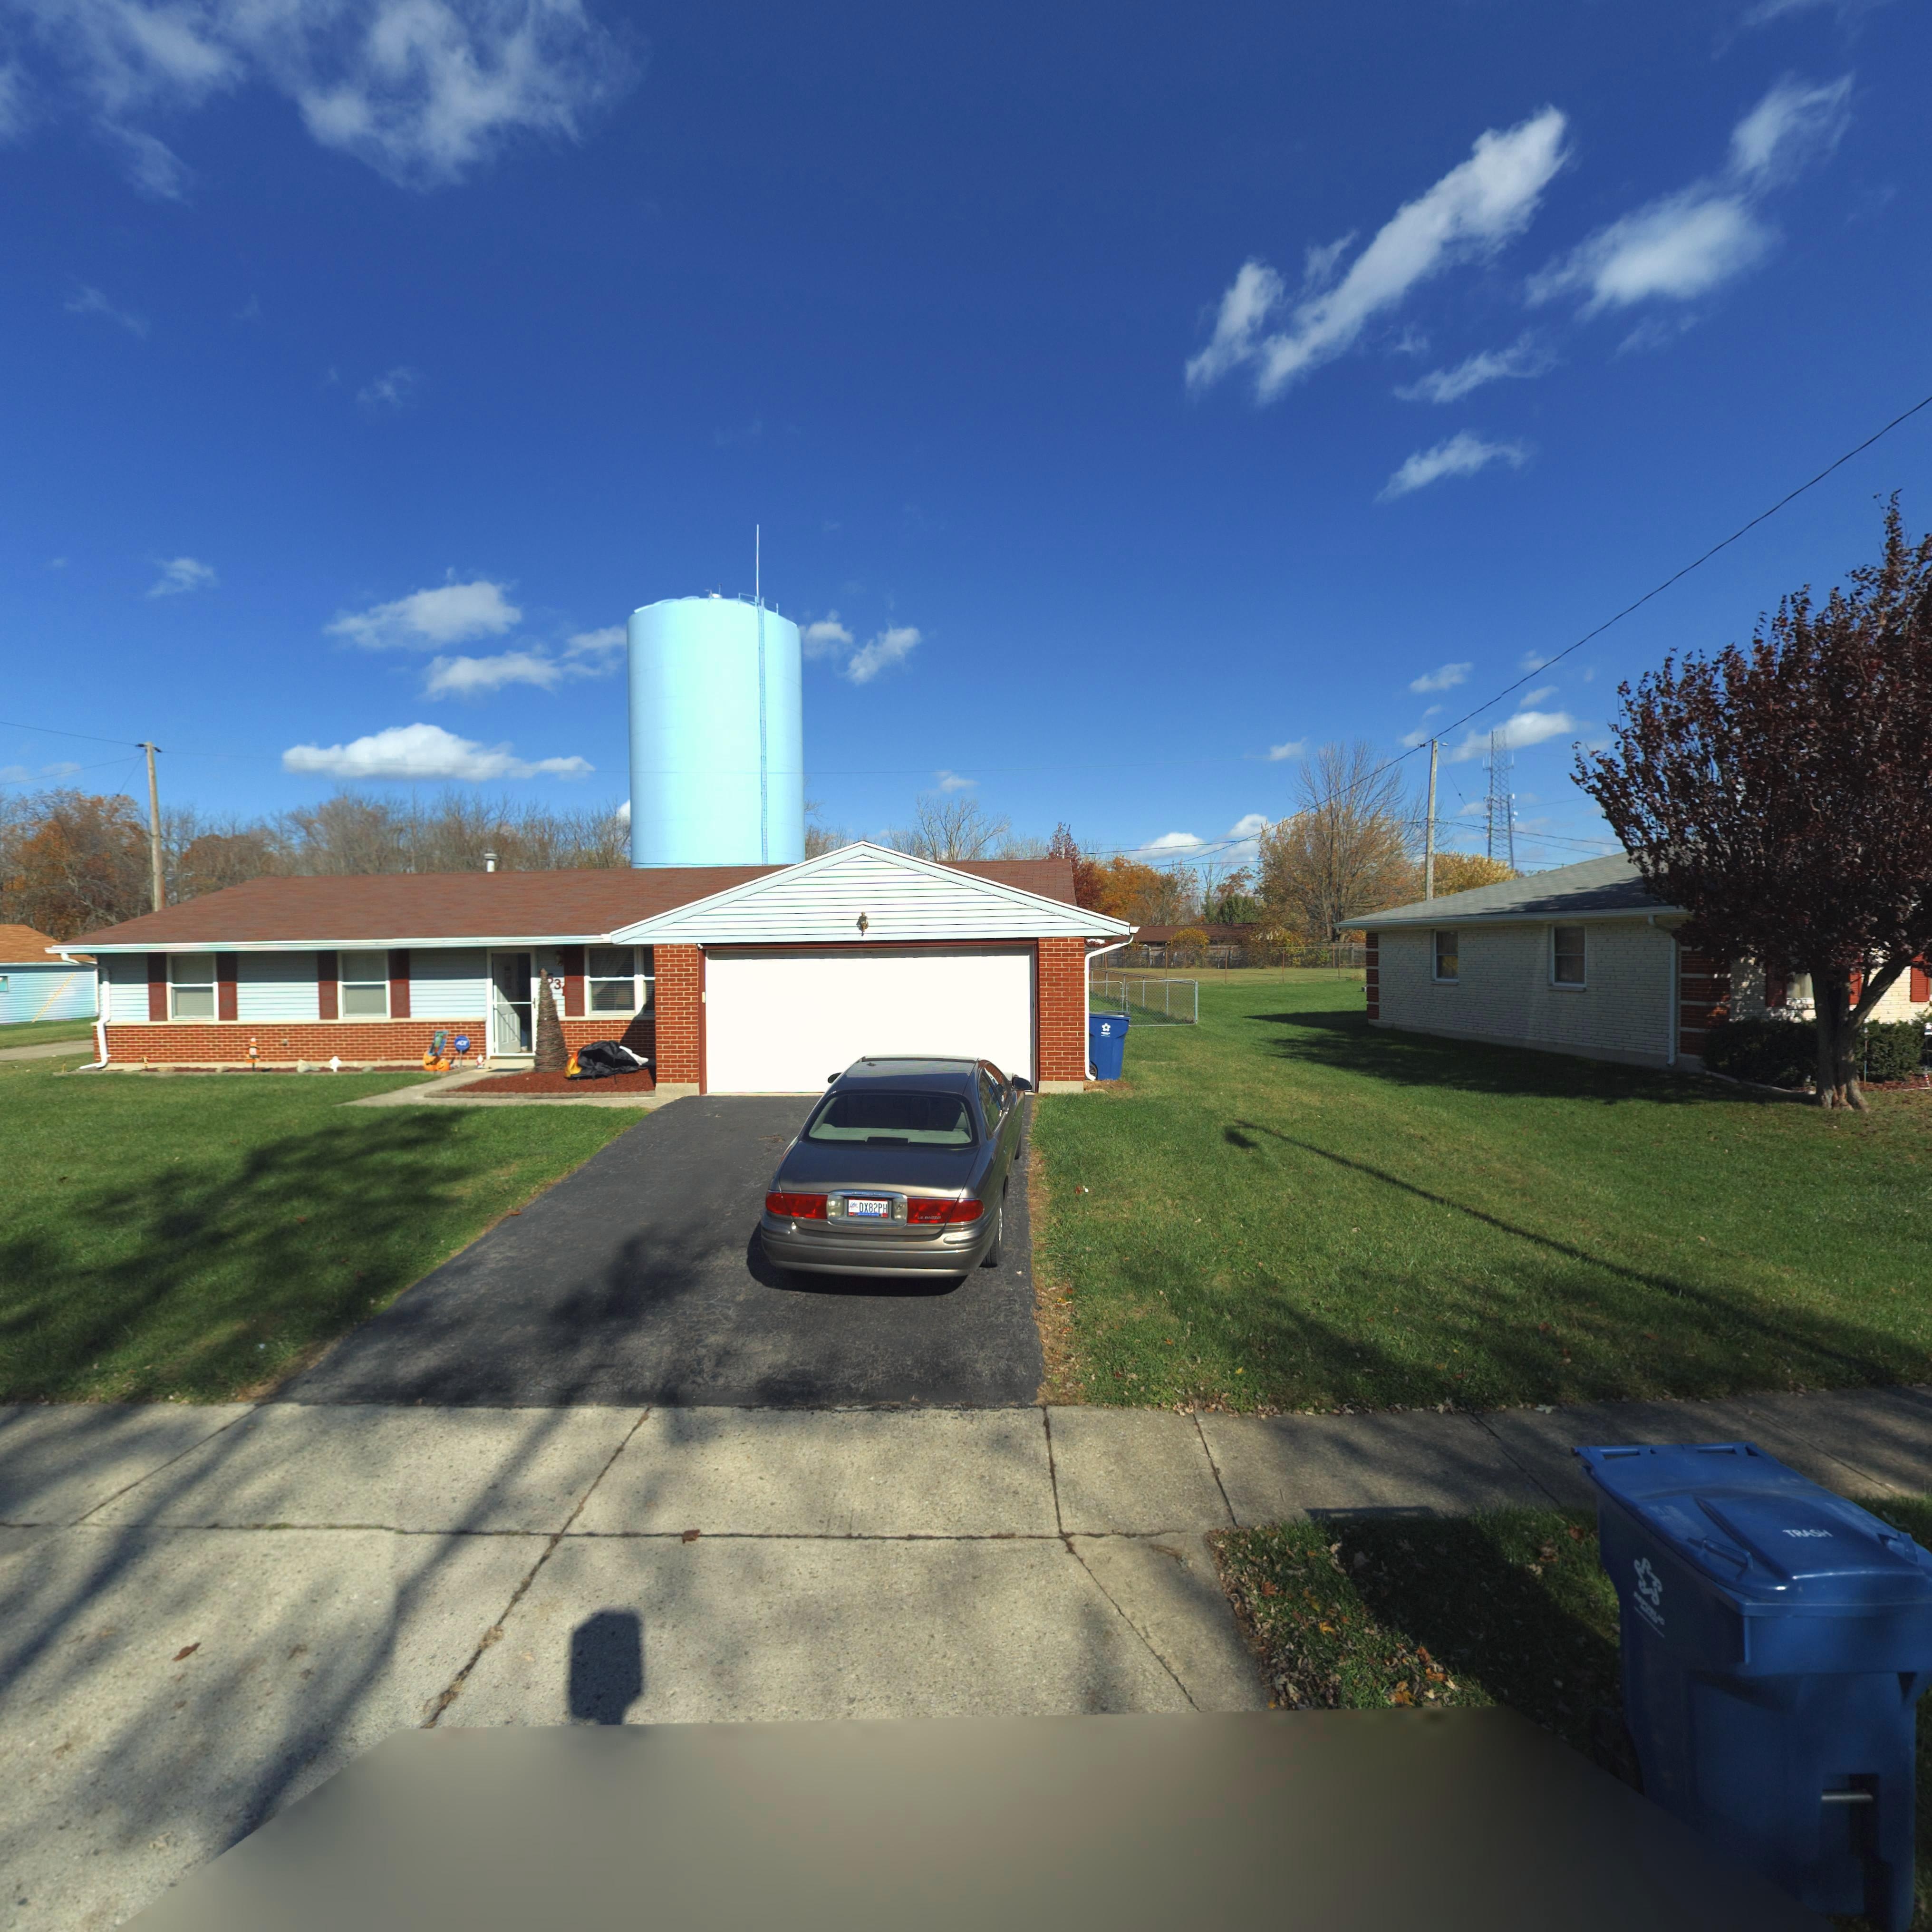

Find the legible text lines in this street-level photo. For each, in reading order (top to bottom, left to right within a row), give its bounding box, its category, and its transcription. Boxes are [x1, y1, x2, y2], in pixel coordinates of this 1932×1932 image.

[546, 972, 561, 990] StreetNumber: 3